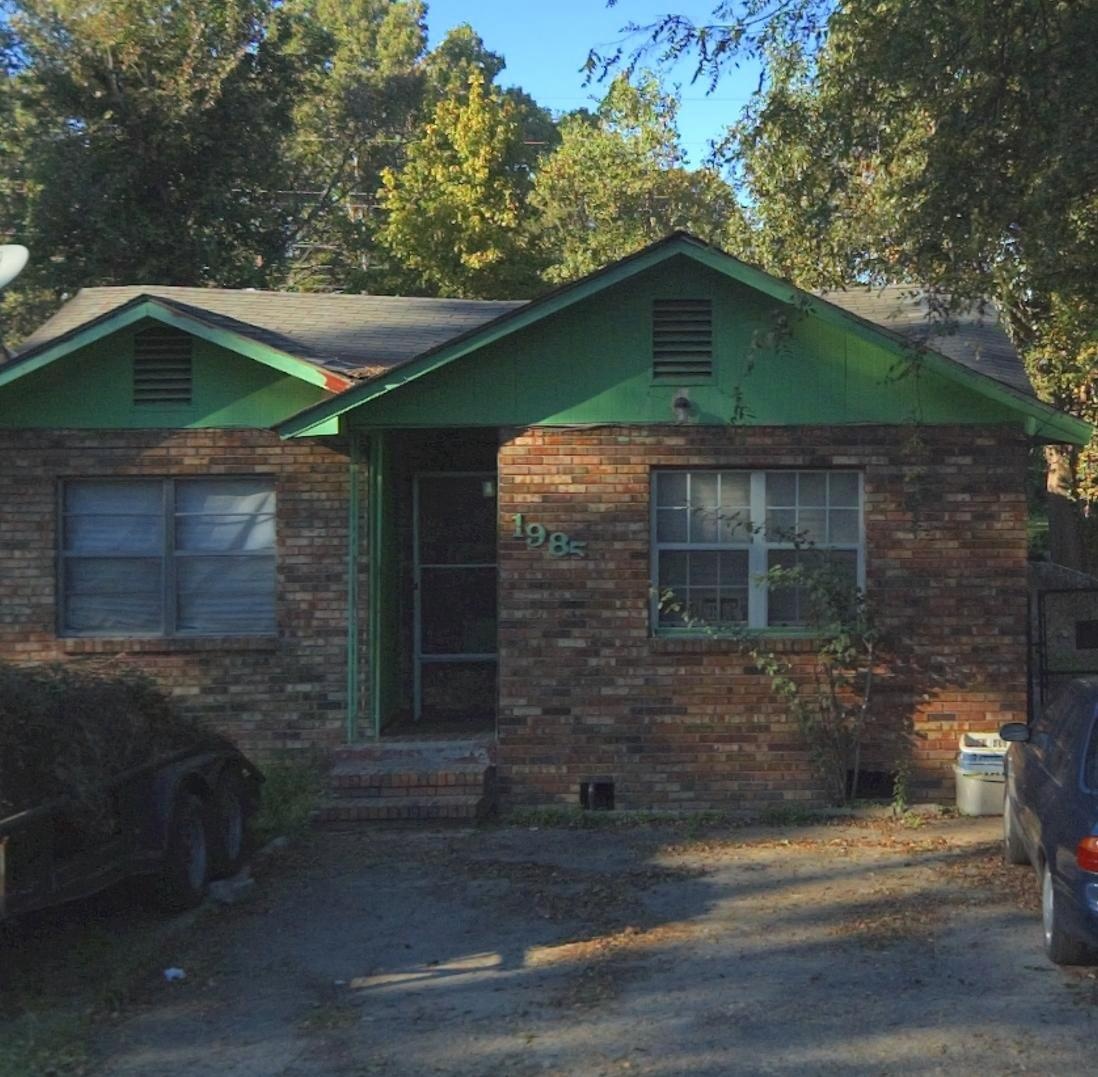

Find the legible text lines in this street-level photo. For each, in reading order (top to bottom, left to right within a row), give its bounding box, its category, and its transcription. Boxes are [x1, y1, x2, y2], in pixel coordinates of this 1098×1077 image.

[509, 512, 589, 563] StreetNumber: 1985